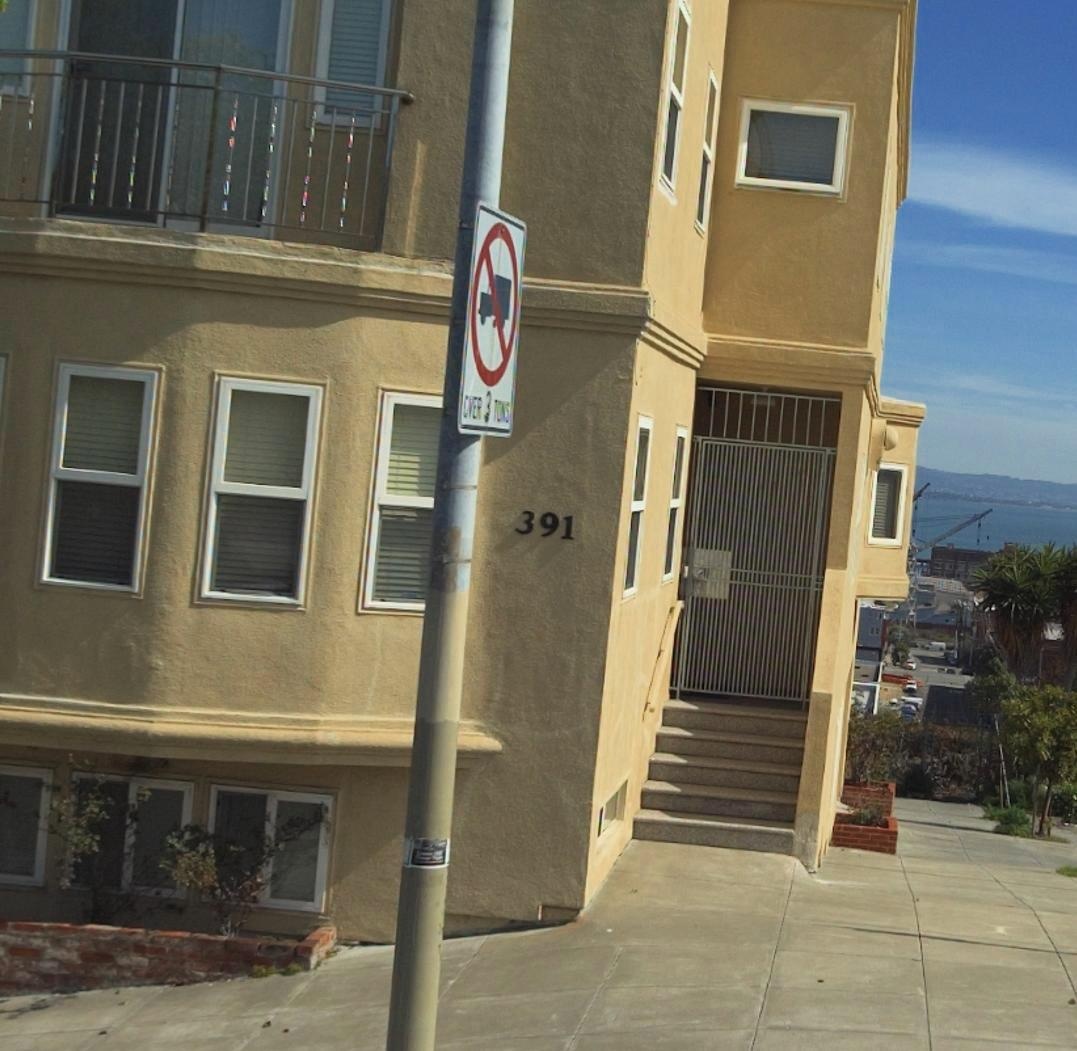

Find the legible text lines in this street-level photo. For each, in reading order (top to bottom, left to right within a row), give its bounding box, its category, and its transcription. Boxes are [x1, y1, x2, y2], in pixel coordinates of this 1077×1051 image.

[462, 389, 512, 425] None: OVER 3 TONS
[512, 508, 576, 542] StreetNumber: 391